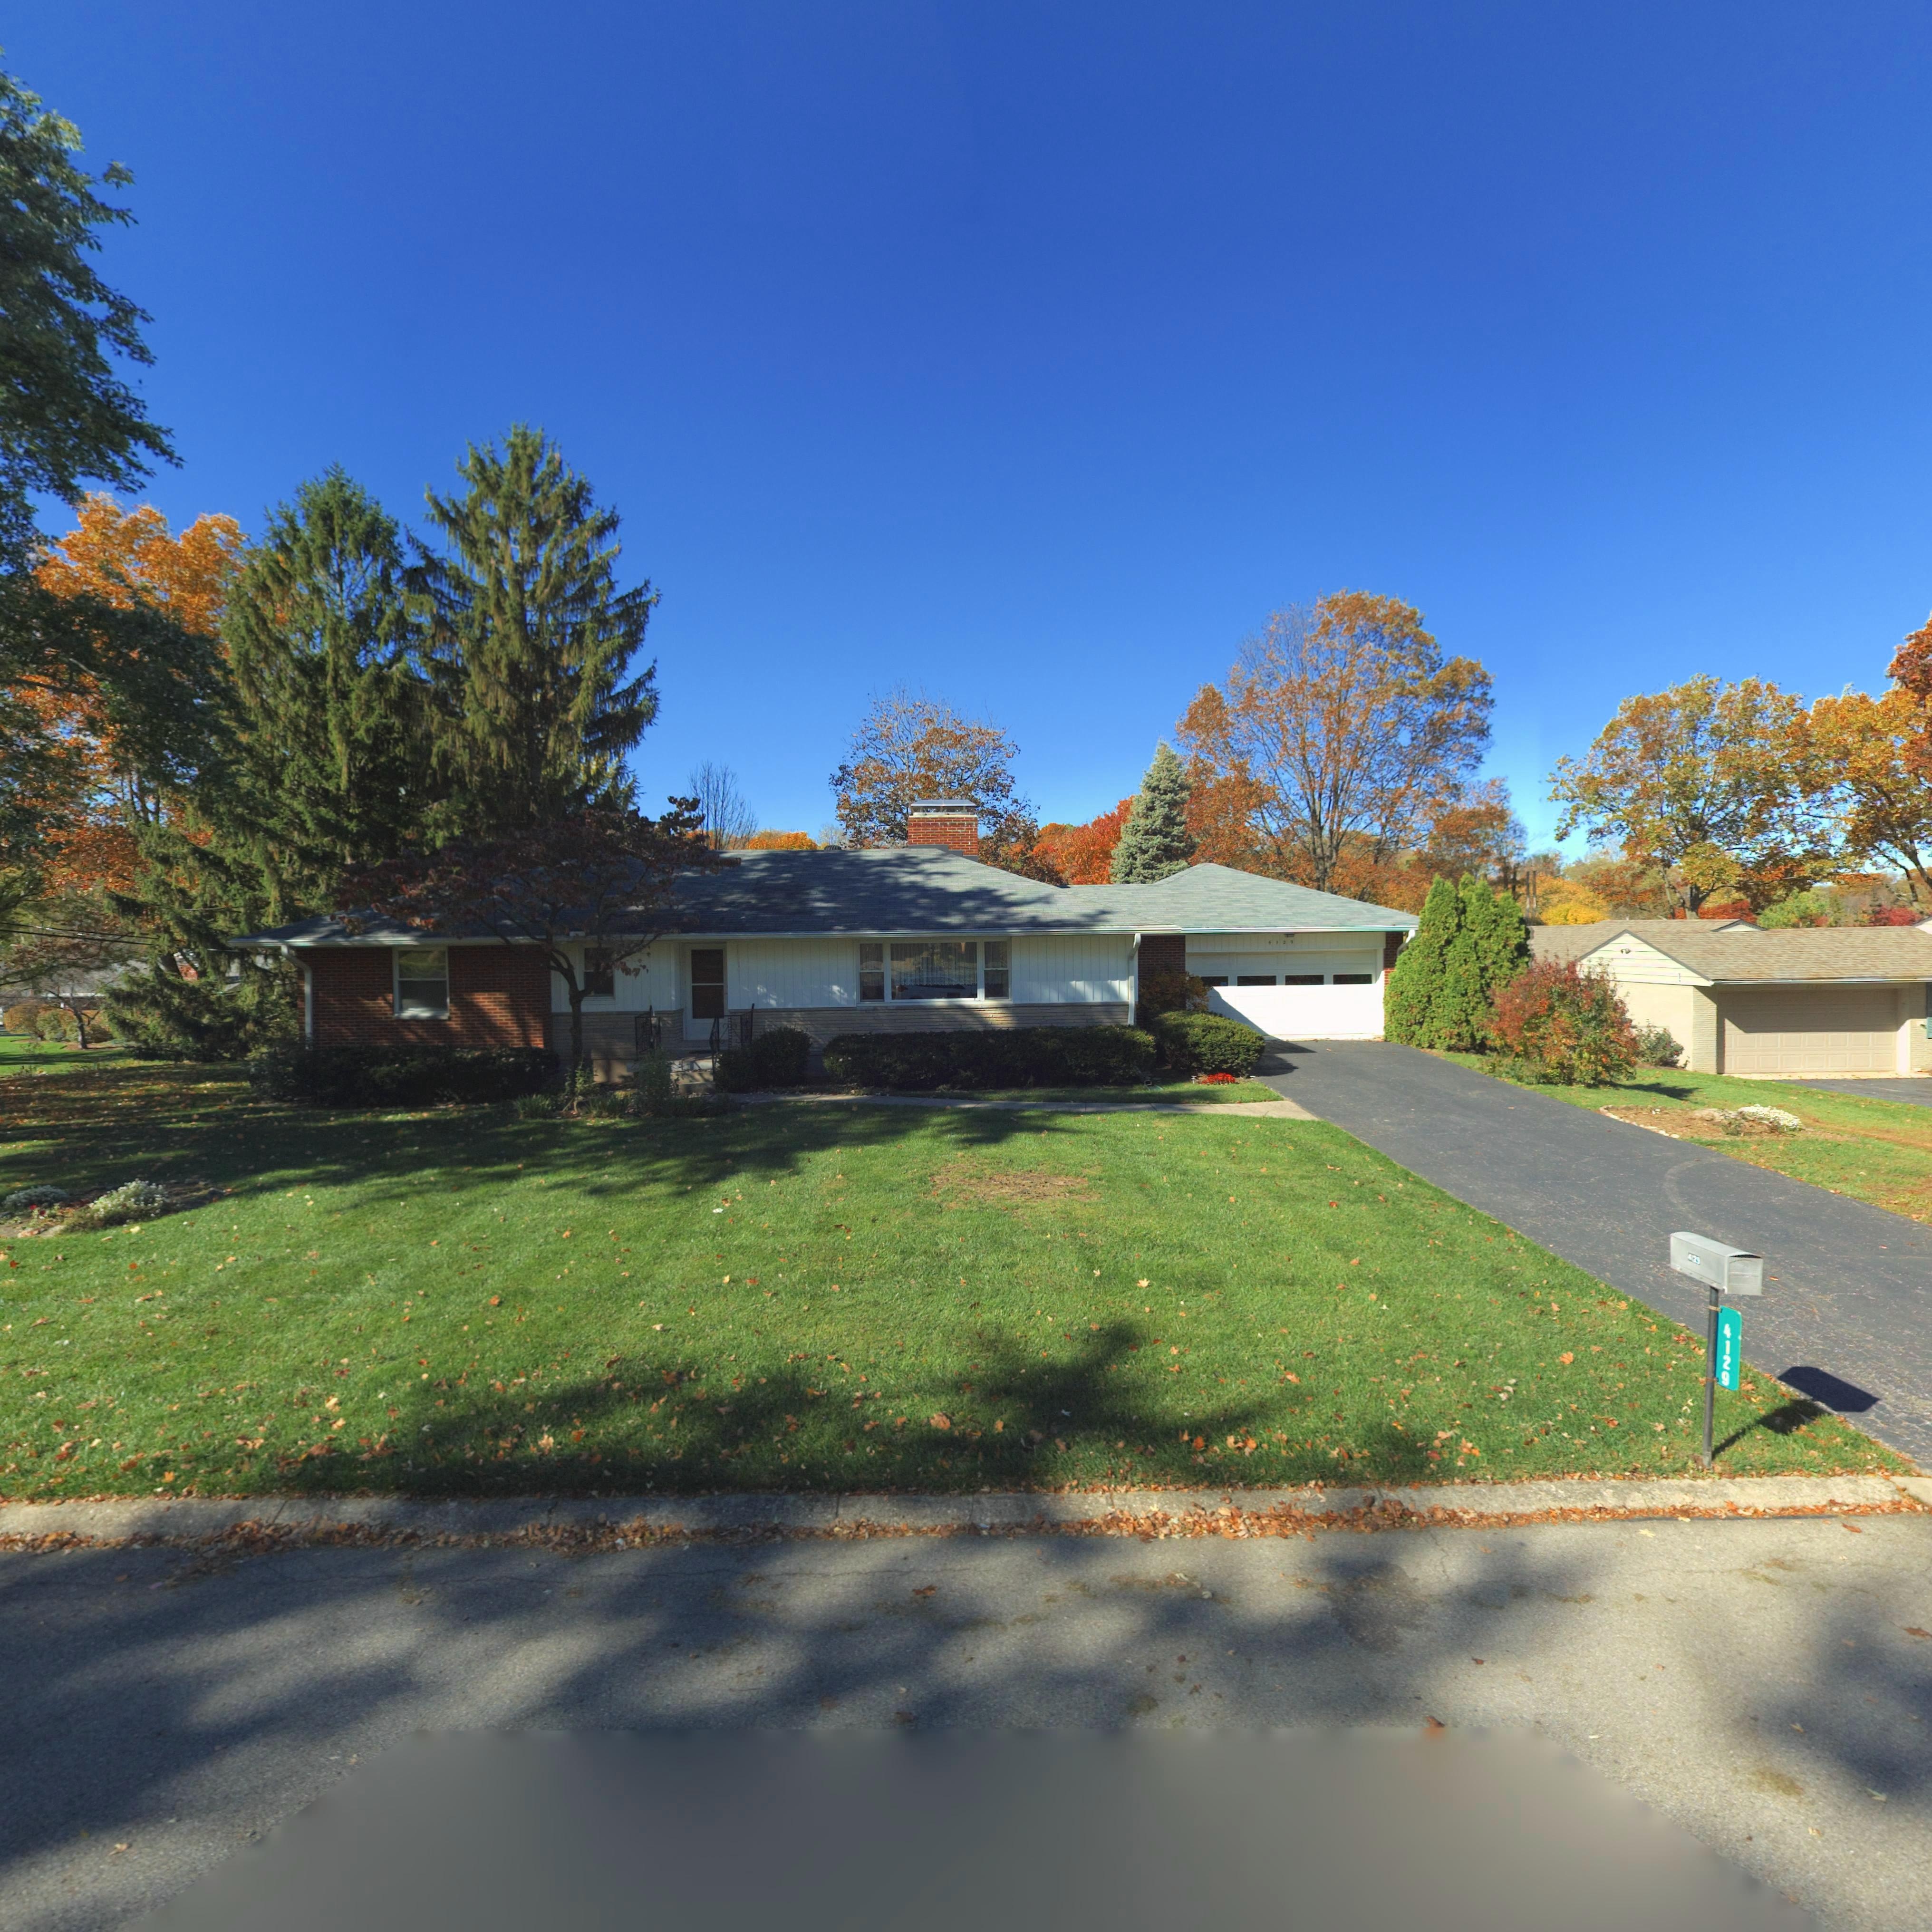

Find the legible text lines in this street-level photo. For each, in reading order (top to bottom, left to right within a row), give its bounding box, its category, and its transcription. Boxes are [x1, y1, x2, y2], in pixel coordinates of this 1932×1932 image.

[1267, 939, 1294, 946] StreetNumber: *1**
[1687, 1251, 1701, 1266] StreetNumber: 4*29
[1721, 1323, 1732, 1387] StreetNumber: 4129